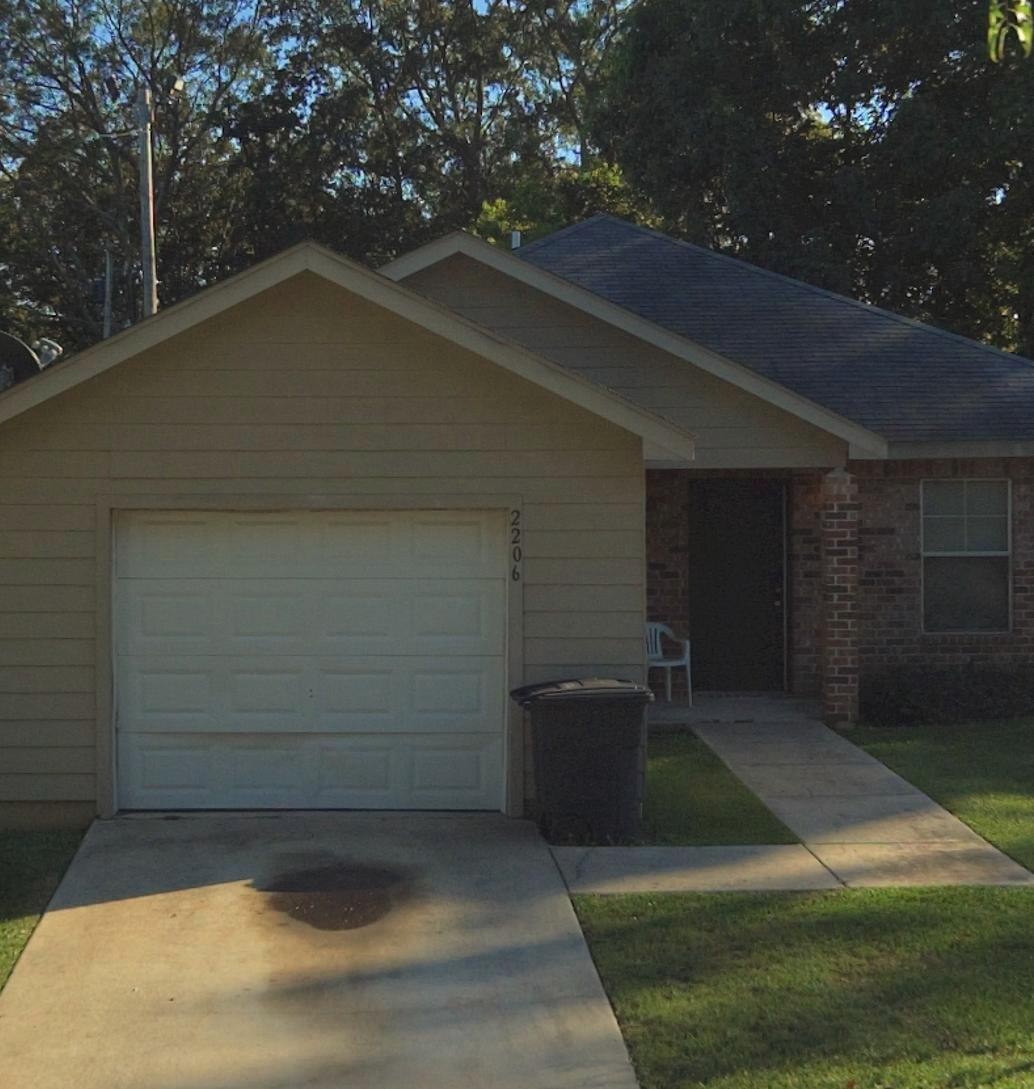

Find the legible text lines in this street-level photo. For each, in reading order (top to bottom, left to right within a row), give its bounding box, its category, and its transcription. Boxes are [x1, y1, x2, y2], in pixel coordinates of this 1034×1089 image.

[509, 508, 523, 583] StreetNumber: 2206